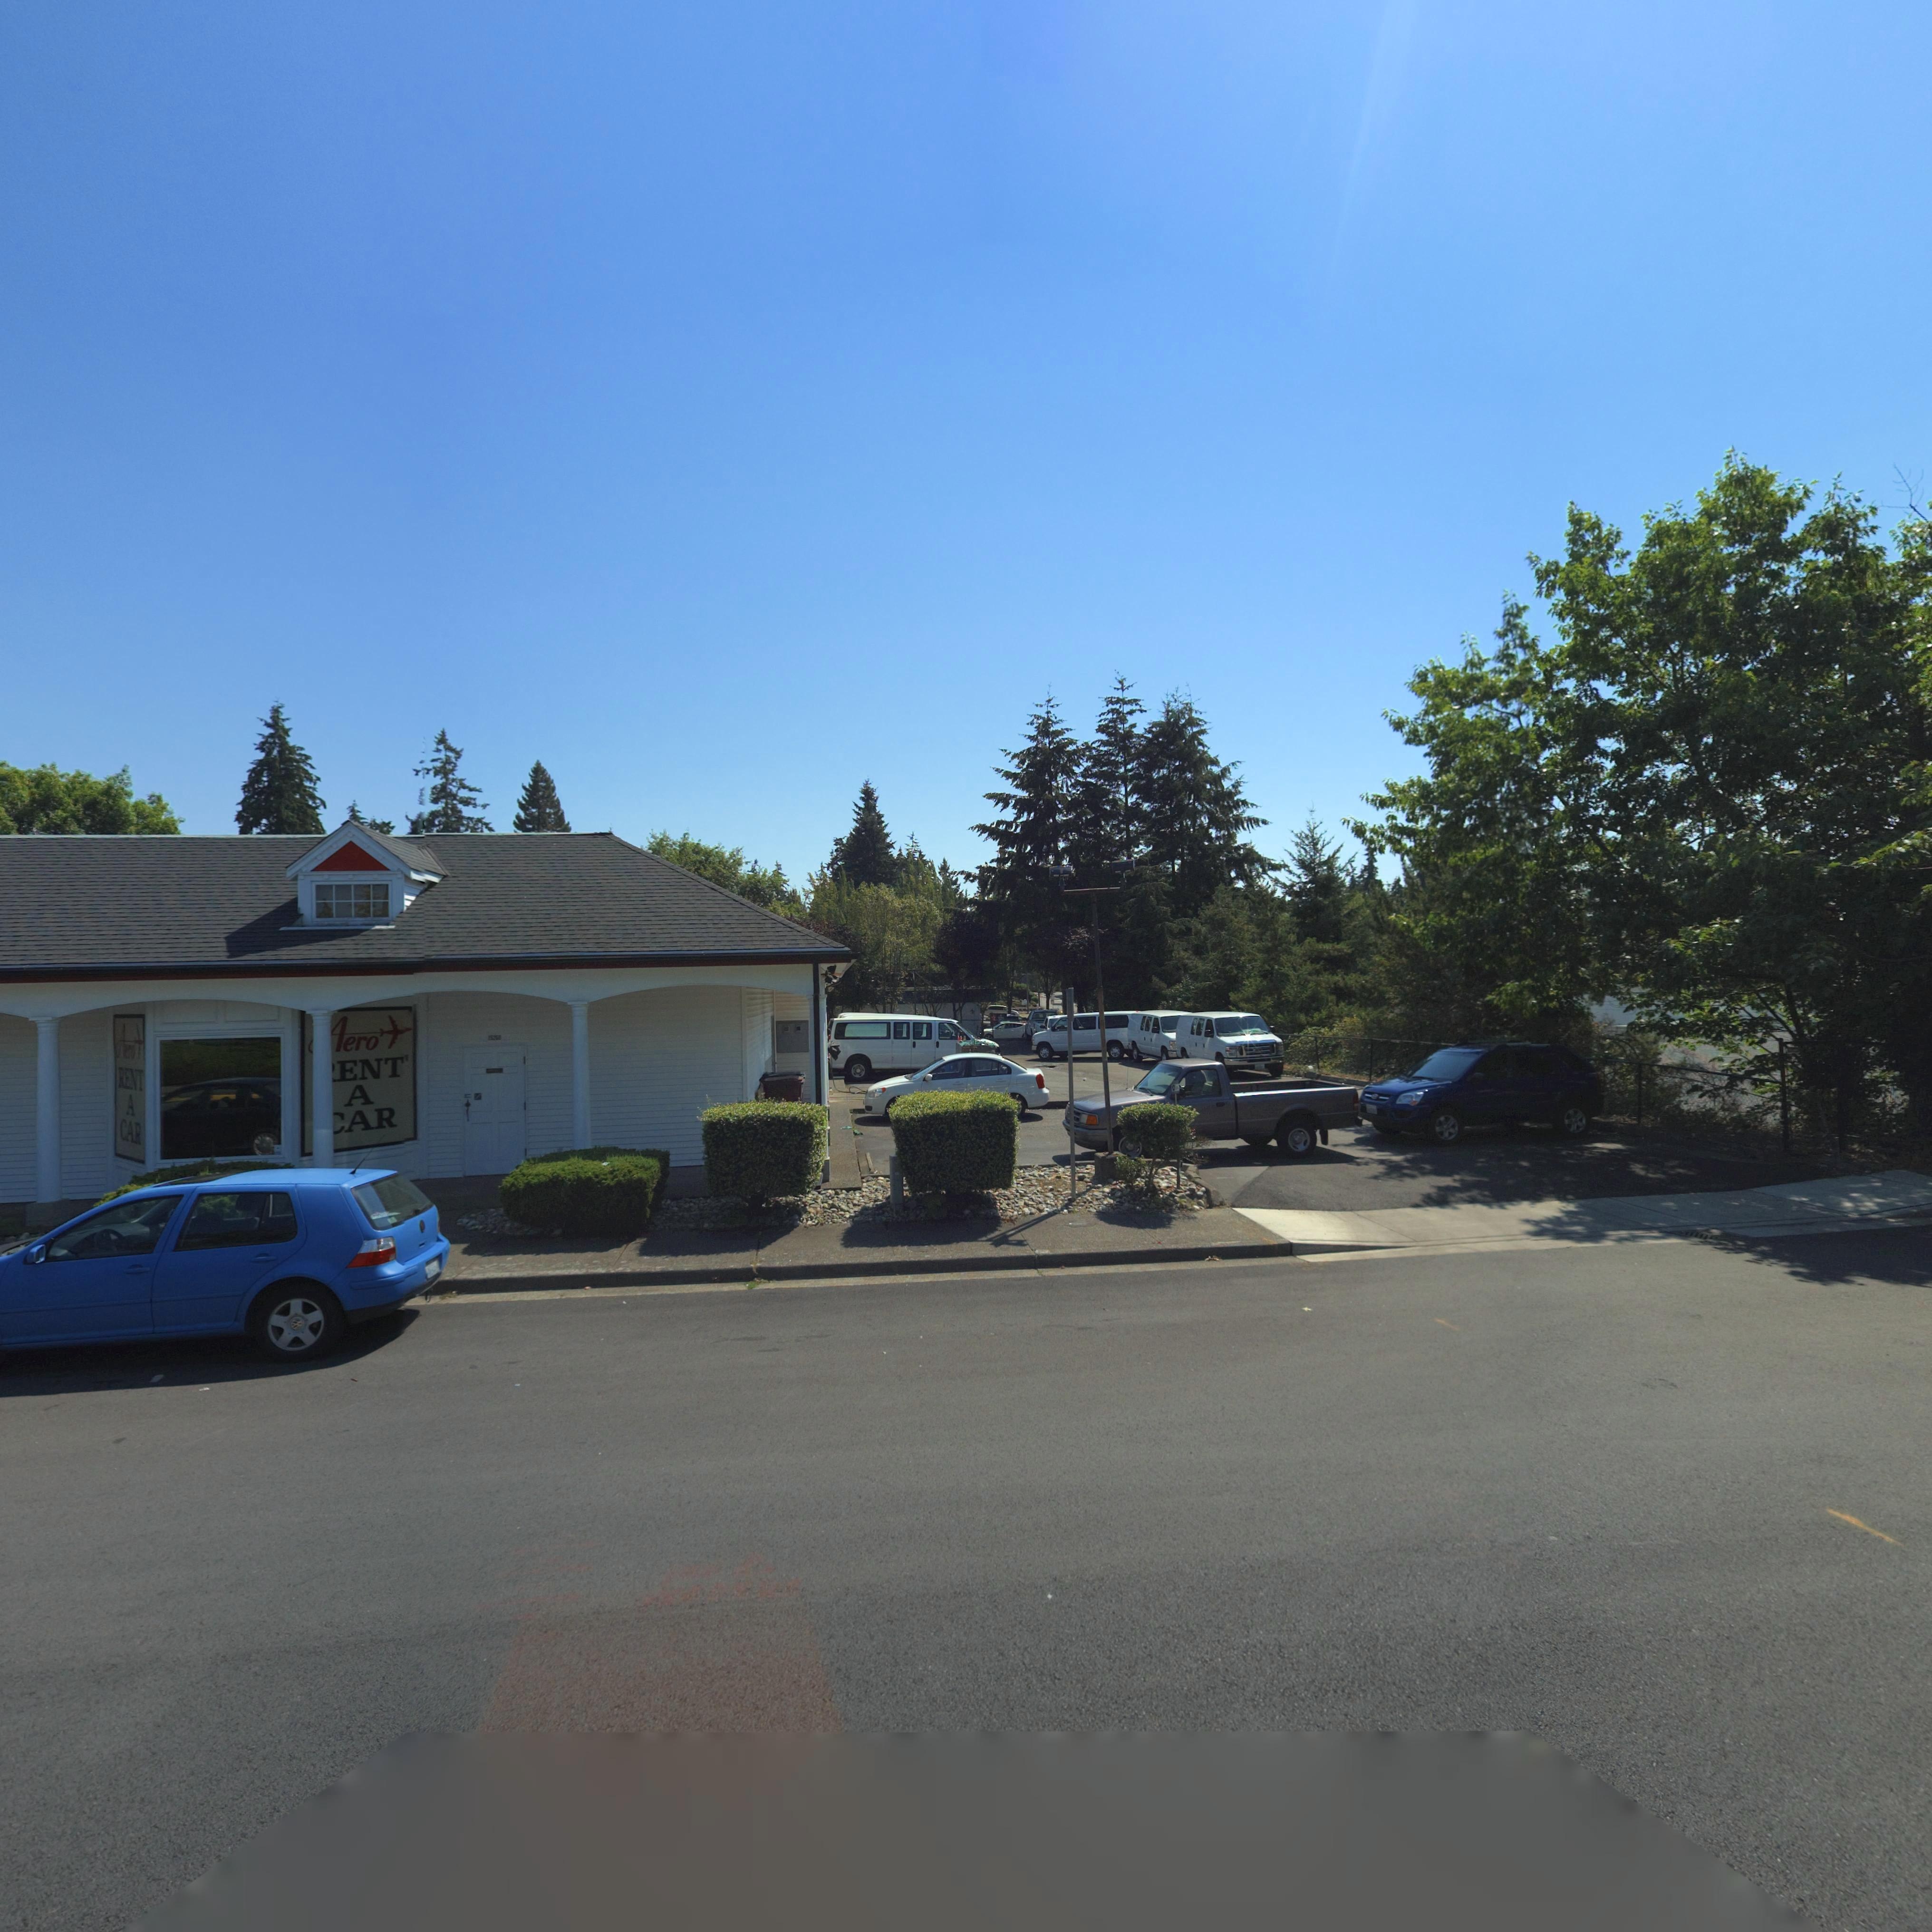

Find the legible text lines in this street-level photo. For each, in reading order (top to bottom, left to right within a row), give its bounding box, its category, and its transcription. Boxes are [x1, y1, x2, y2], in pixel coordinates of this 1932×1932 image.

[340, 1034, 380, 1052] BusinessName: ero
[337, 1057, 404, 1082] BusinessName: ENT
[124, 1093, 136, 1117] BusinessName: A
[343, 1082, 376, 1107] BusinessName: A
[119, 1117, 143, 1146] BusinessName: CAR
[343, 1106, 398, 1133] BusinessName: AR